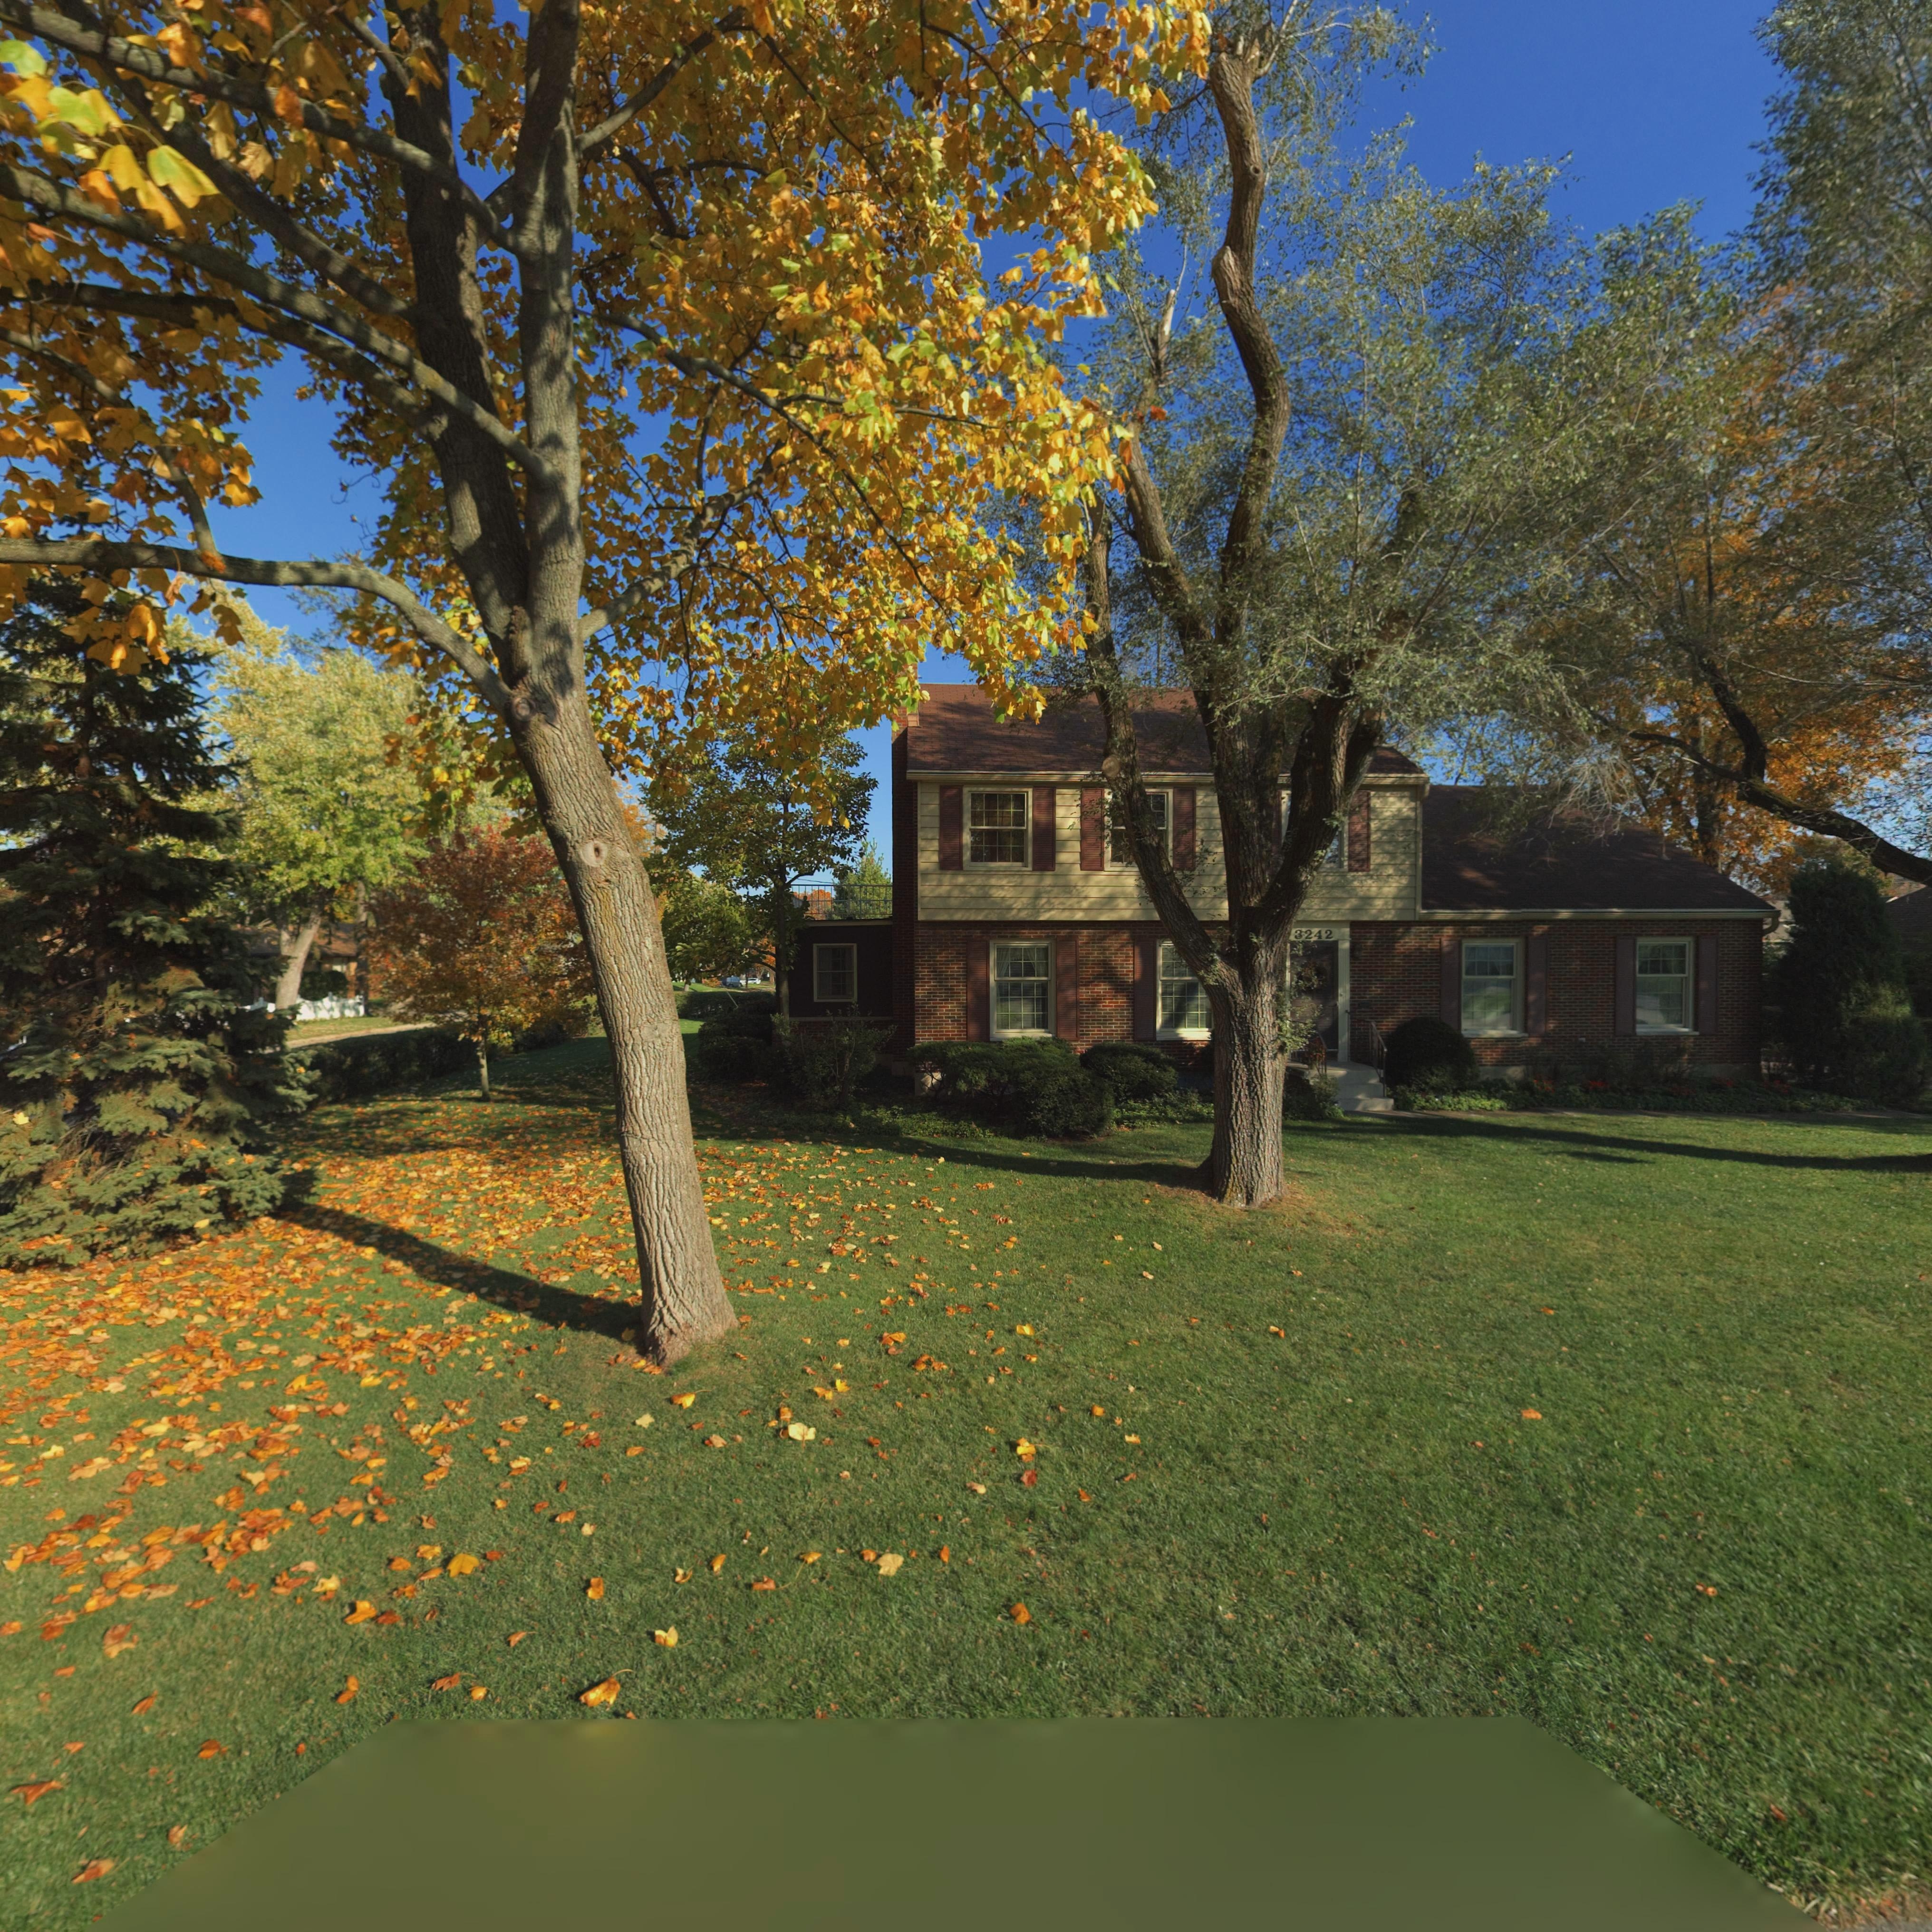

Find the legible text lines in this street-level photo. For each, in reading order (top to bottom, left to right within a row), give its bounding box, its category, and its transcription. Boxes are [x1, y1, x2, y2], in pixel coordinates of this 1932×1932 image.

[1294, 929, 1333, 939] StreetNumber: 3242